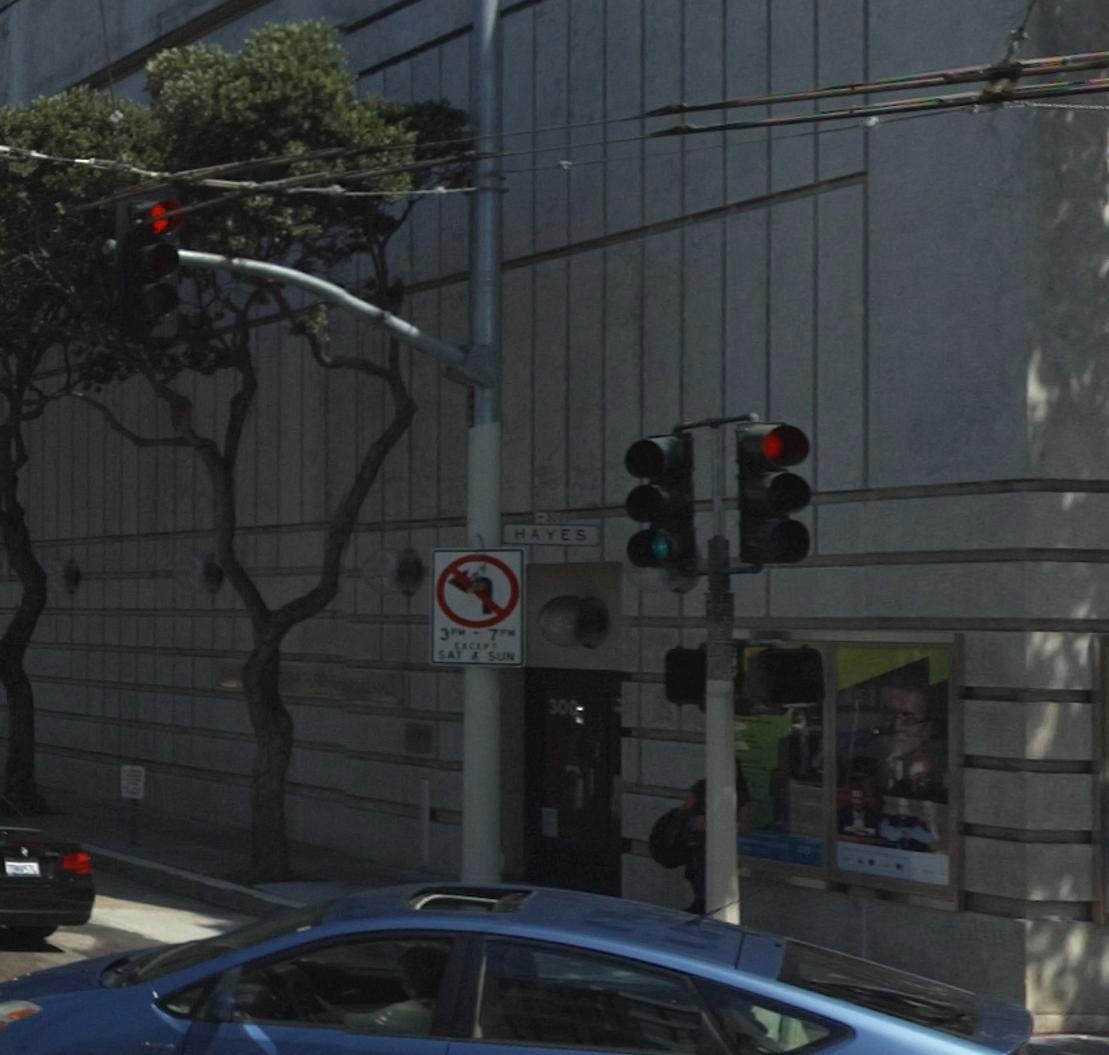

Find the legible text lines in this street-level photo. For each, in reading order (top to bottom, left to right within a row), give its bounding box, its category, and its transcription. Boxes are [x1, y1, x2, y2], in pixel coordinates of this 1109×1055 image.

[510, 526, 588, 544] StreetName: HAYES
[438, 626, 519, 641] None: 3PM - 7PM
[450, 641, 499, 650] None: EXCEPT
[435, 649, 517, 662] None: SAT & SUN
[546, 697, 579, 717] StreetNumber: 300